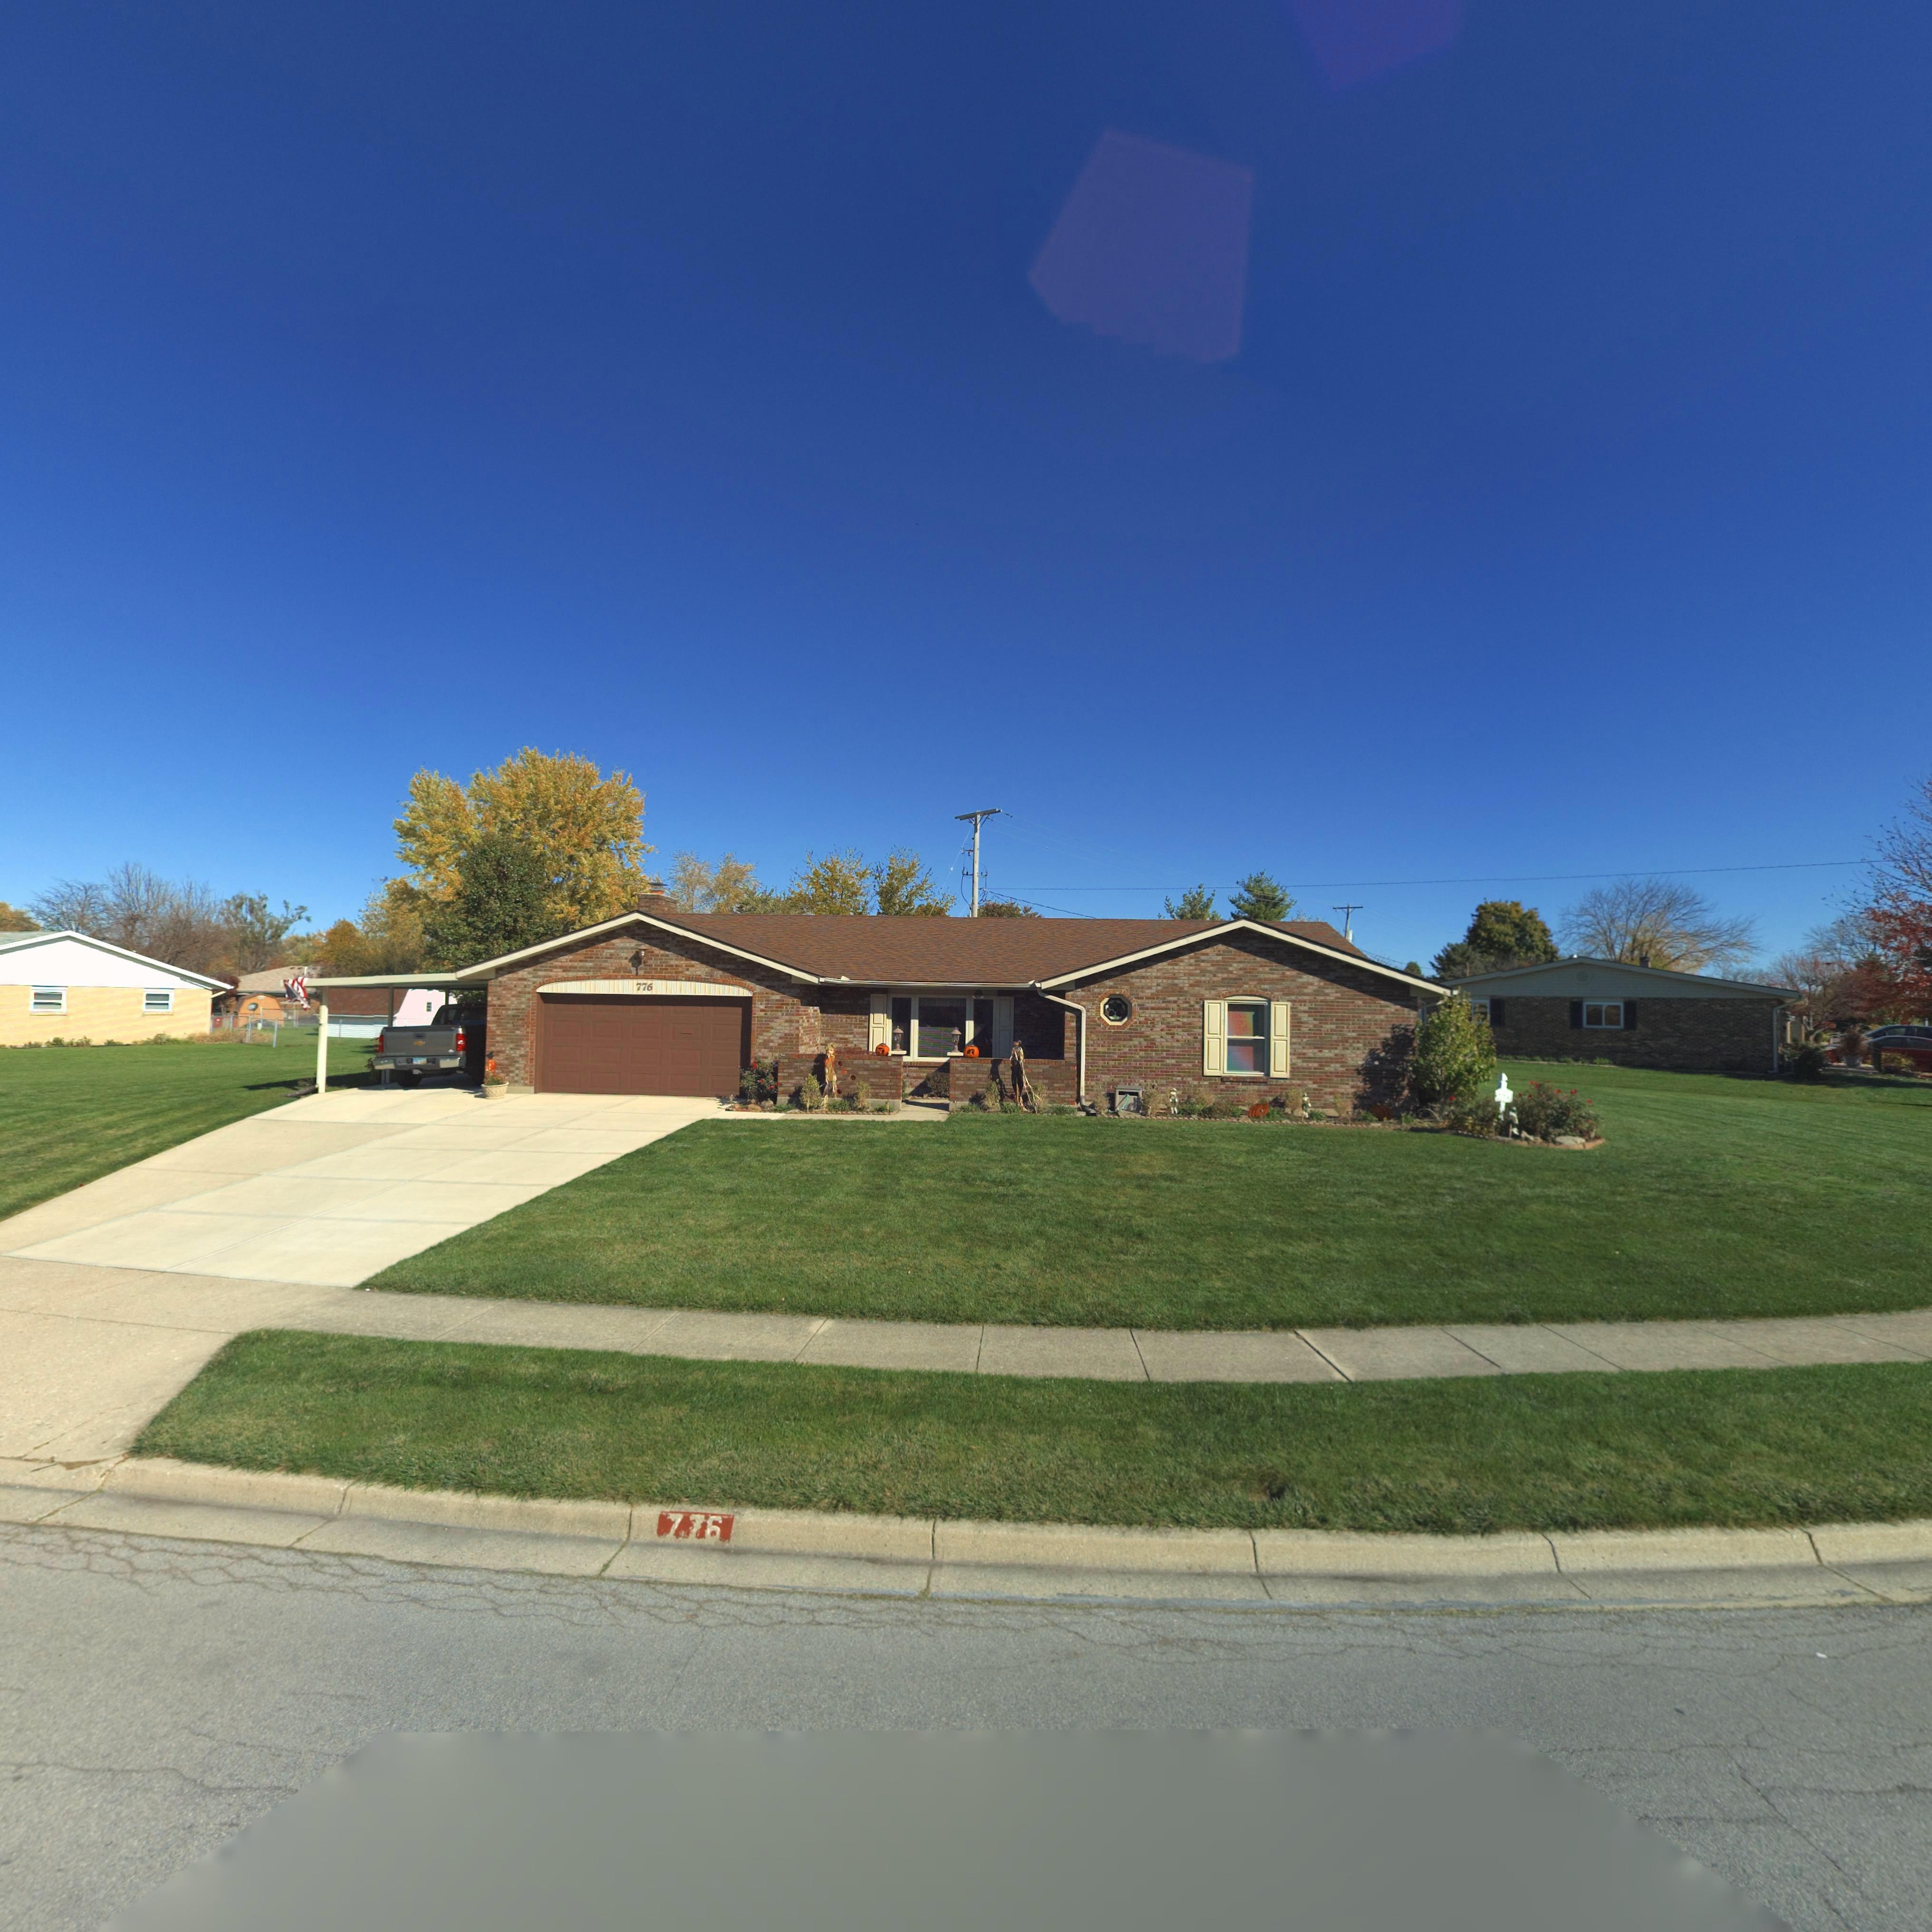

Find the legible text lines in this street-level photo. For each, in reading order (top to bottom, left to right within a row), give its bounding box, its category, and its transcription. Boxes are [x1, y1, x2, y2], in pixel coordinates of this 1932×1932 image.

[636, 982, 654, 991] StreetNumber: 776
[667, 1512, 723, 1542] StreetNumber: 776